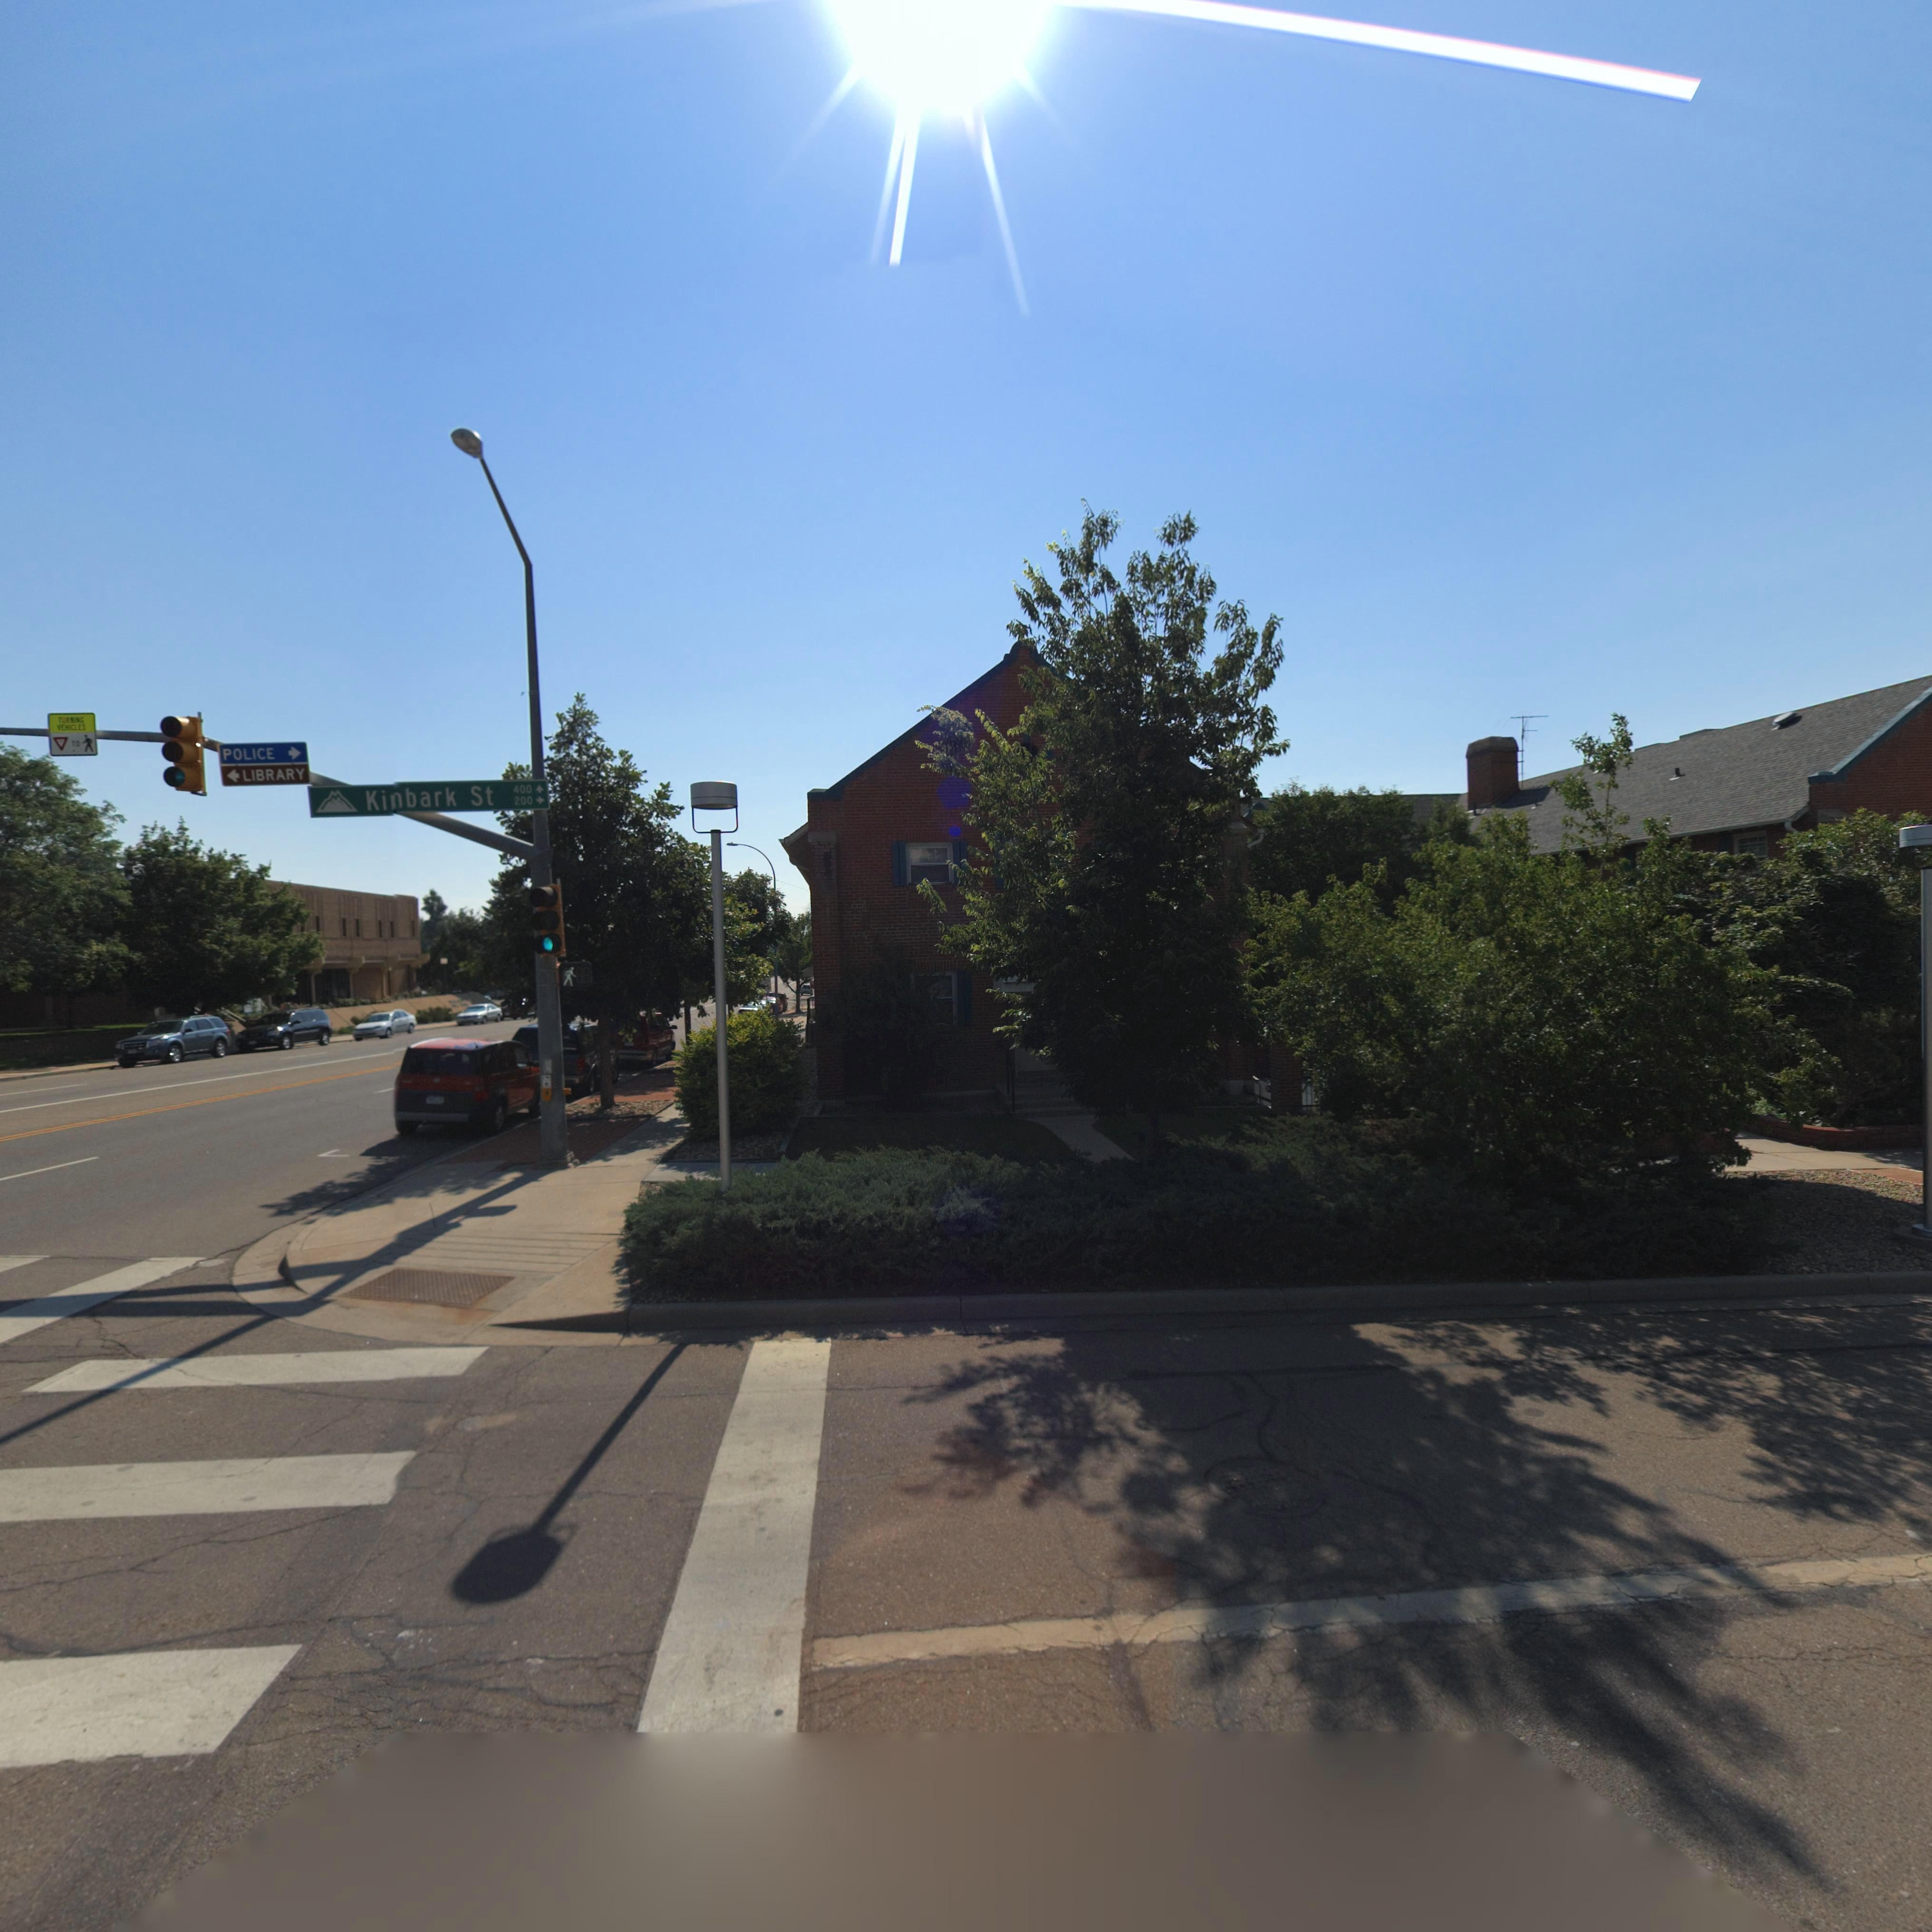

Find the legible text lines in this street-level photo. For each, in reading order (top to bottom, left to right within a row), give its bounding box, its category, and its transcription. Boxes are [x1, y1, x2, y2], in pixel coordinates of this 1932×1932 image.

[512, 784, 532, 793] StreetNumberRange: 400
[365, 785, 494, 811] StreetName: Kinbark St
[514, 796, 544, 805] StreetNumberRange: 200 ->